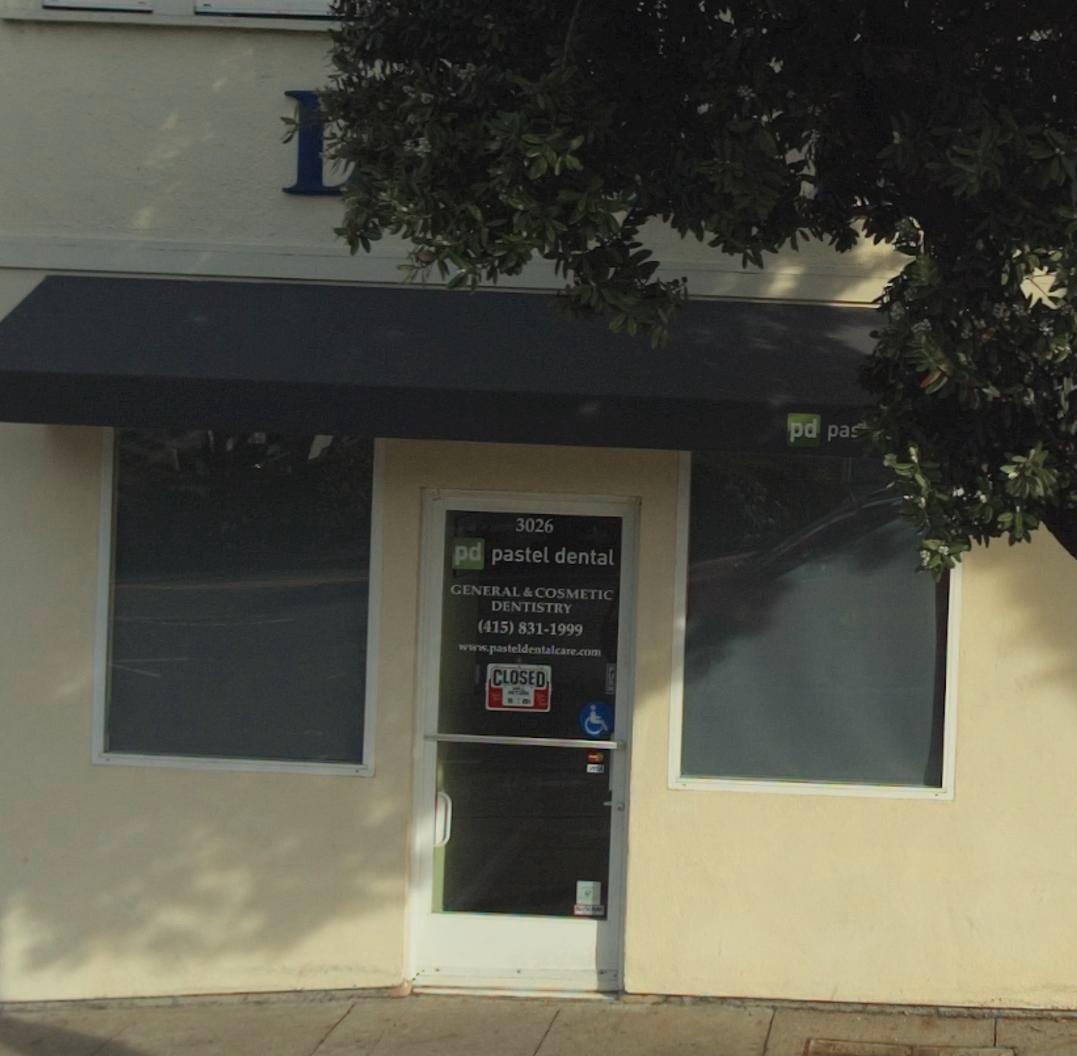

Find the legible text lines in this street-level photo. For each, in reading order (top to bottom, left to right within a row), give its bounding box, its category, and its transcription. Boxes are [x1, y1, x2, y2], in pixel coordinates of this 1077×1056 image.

[787, 415, 853, 446] None: pd pa
[514, 515, 556, 536] StreetNumber: 3026
[452, 538, 618, 570] BusinessName: pd pastel dental
[447, 580, 617, 603] None: GENERAL & COSMETIC
[488, 597, 576, 617] None: DENTISTRY
[480, 616, 587, 640] None: 415)831-1999
[456, 640, 605, 659] None: www.pasteldentalcare.com
[491, 666, 548, 690] None: CLOSED